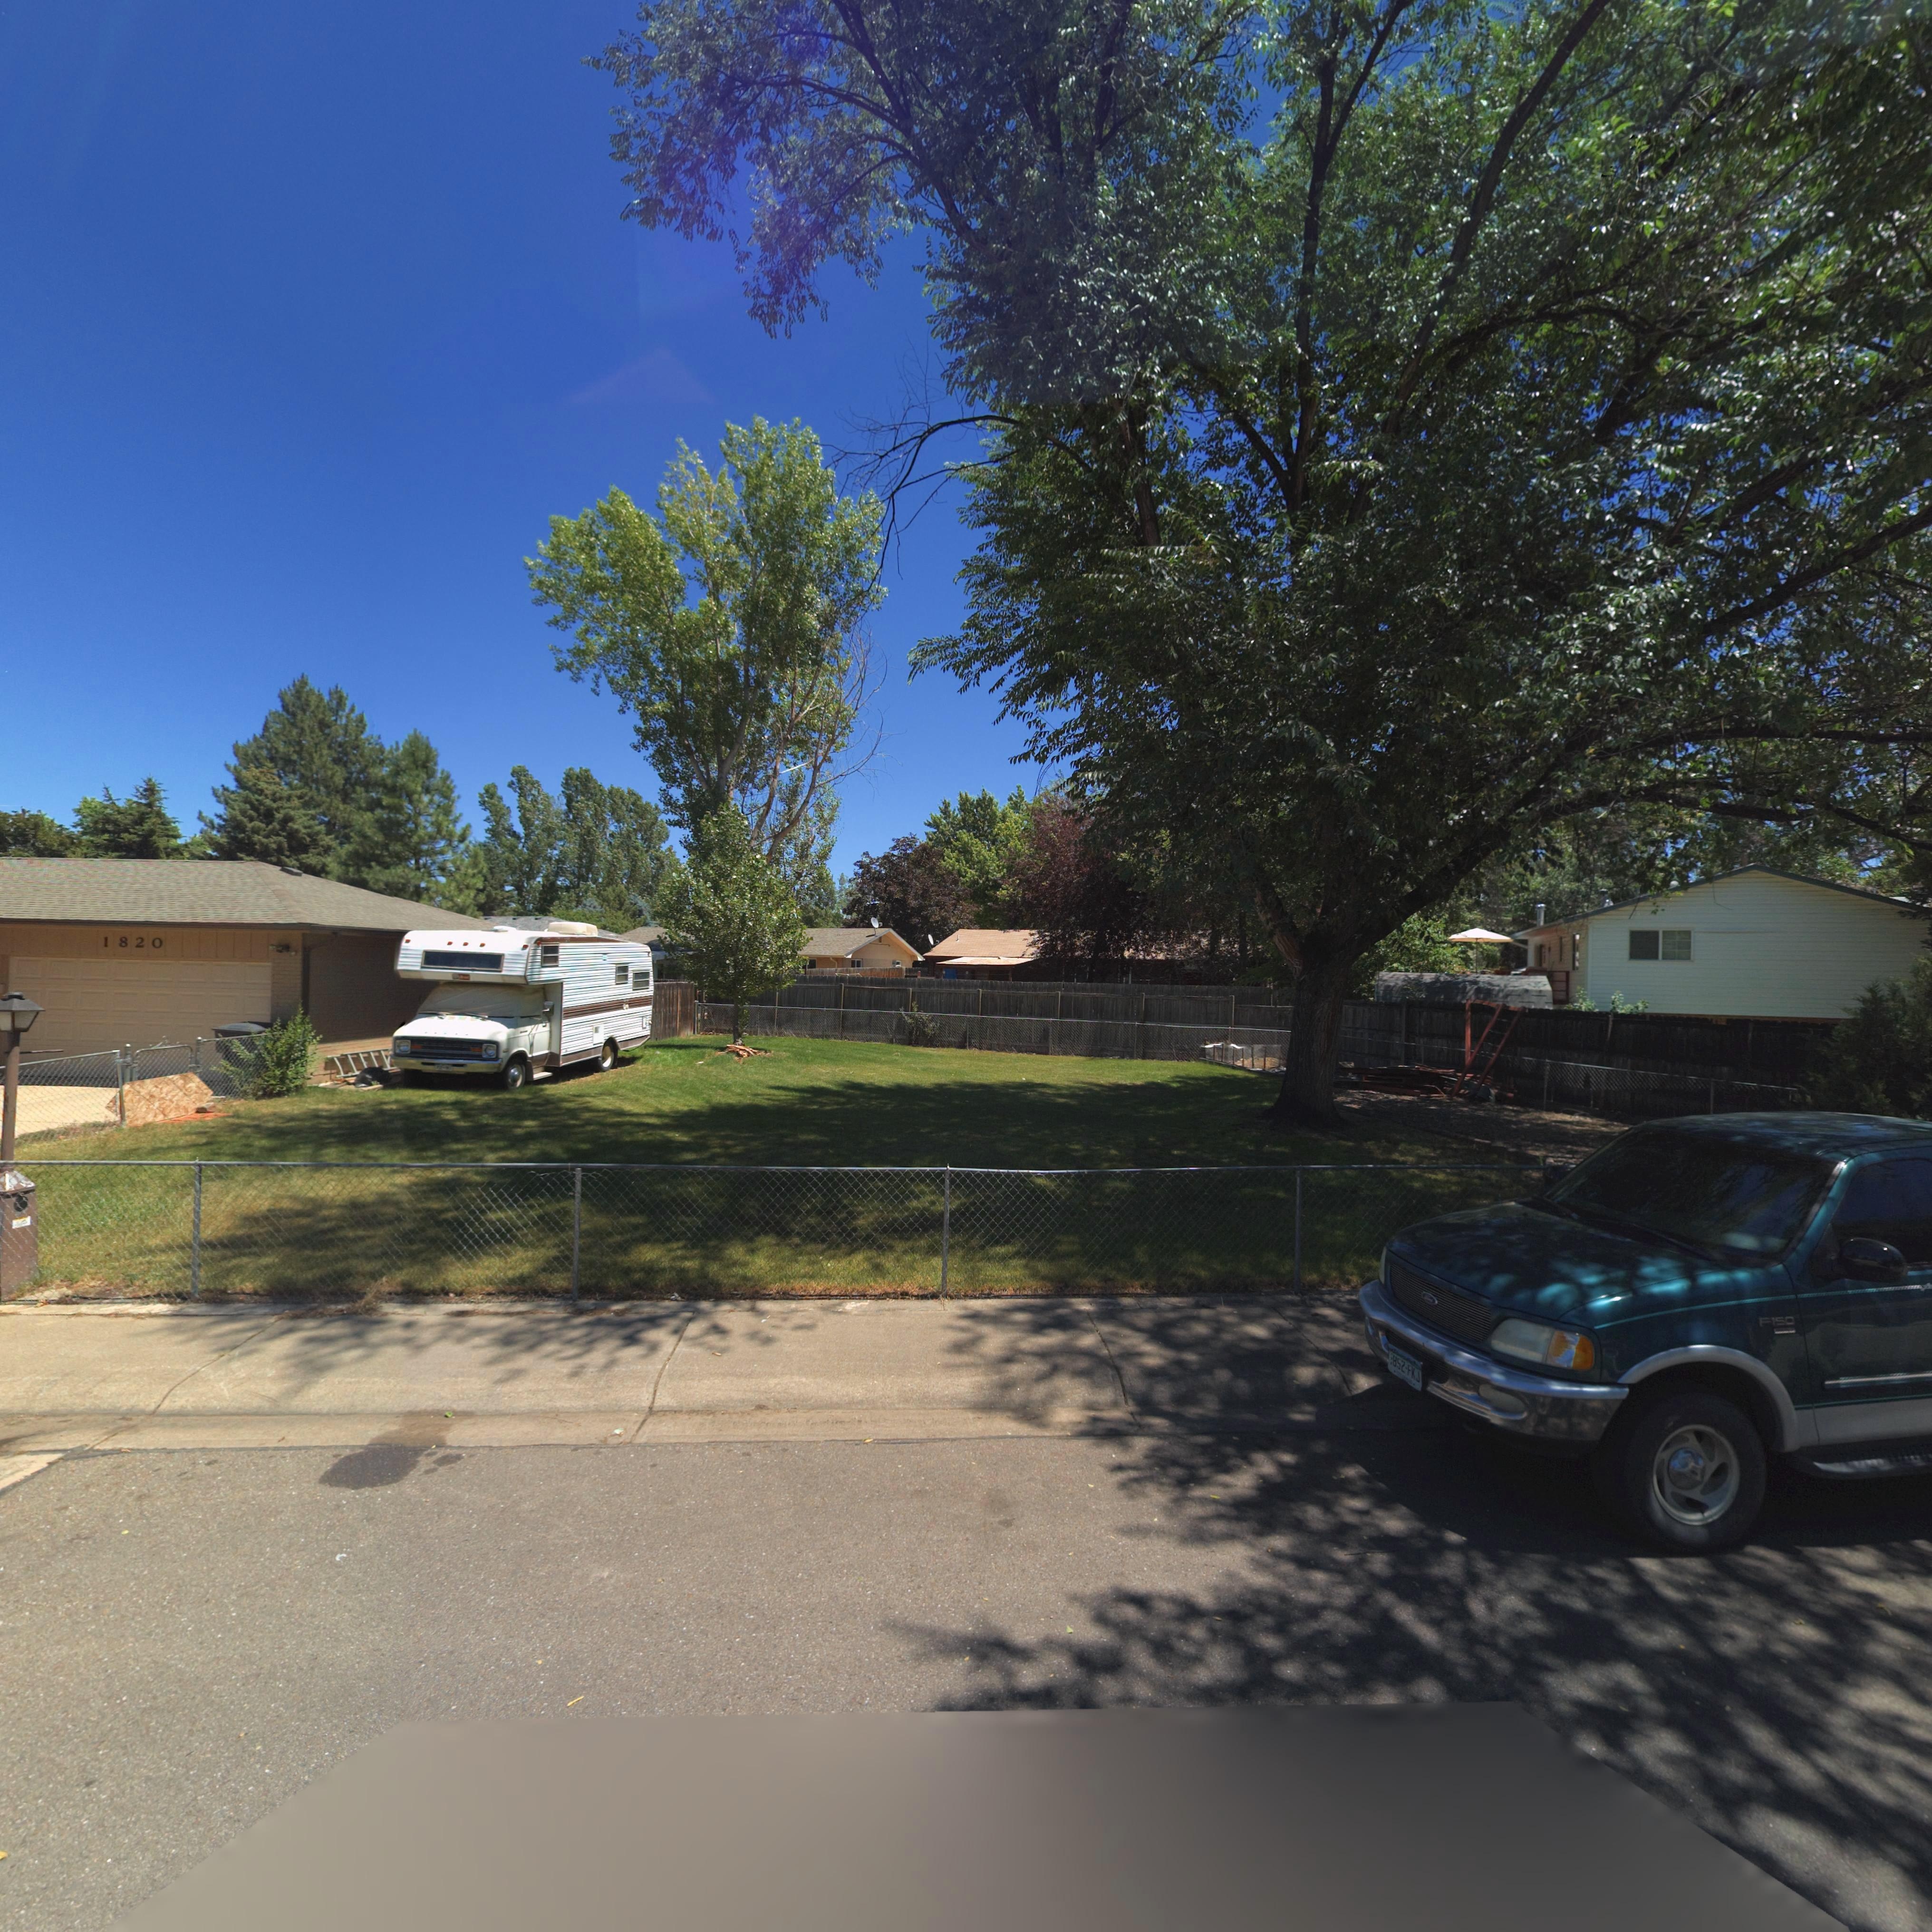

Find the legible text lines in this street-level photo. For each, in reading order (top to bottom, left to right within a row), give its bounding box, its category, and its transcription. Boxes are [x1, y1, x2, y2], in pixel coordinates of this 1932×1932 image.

[104, 936, 163, 949] StreetNumber: 1820